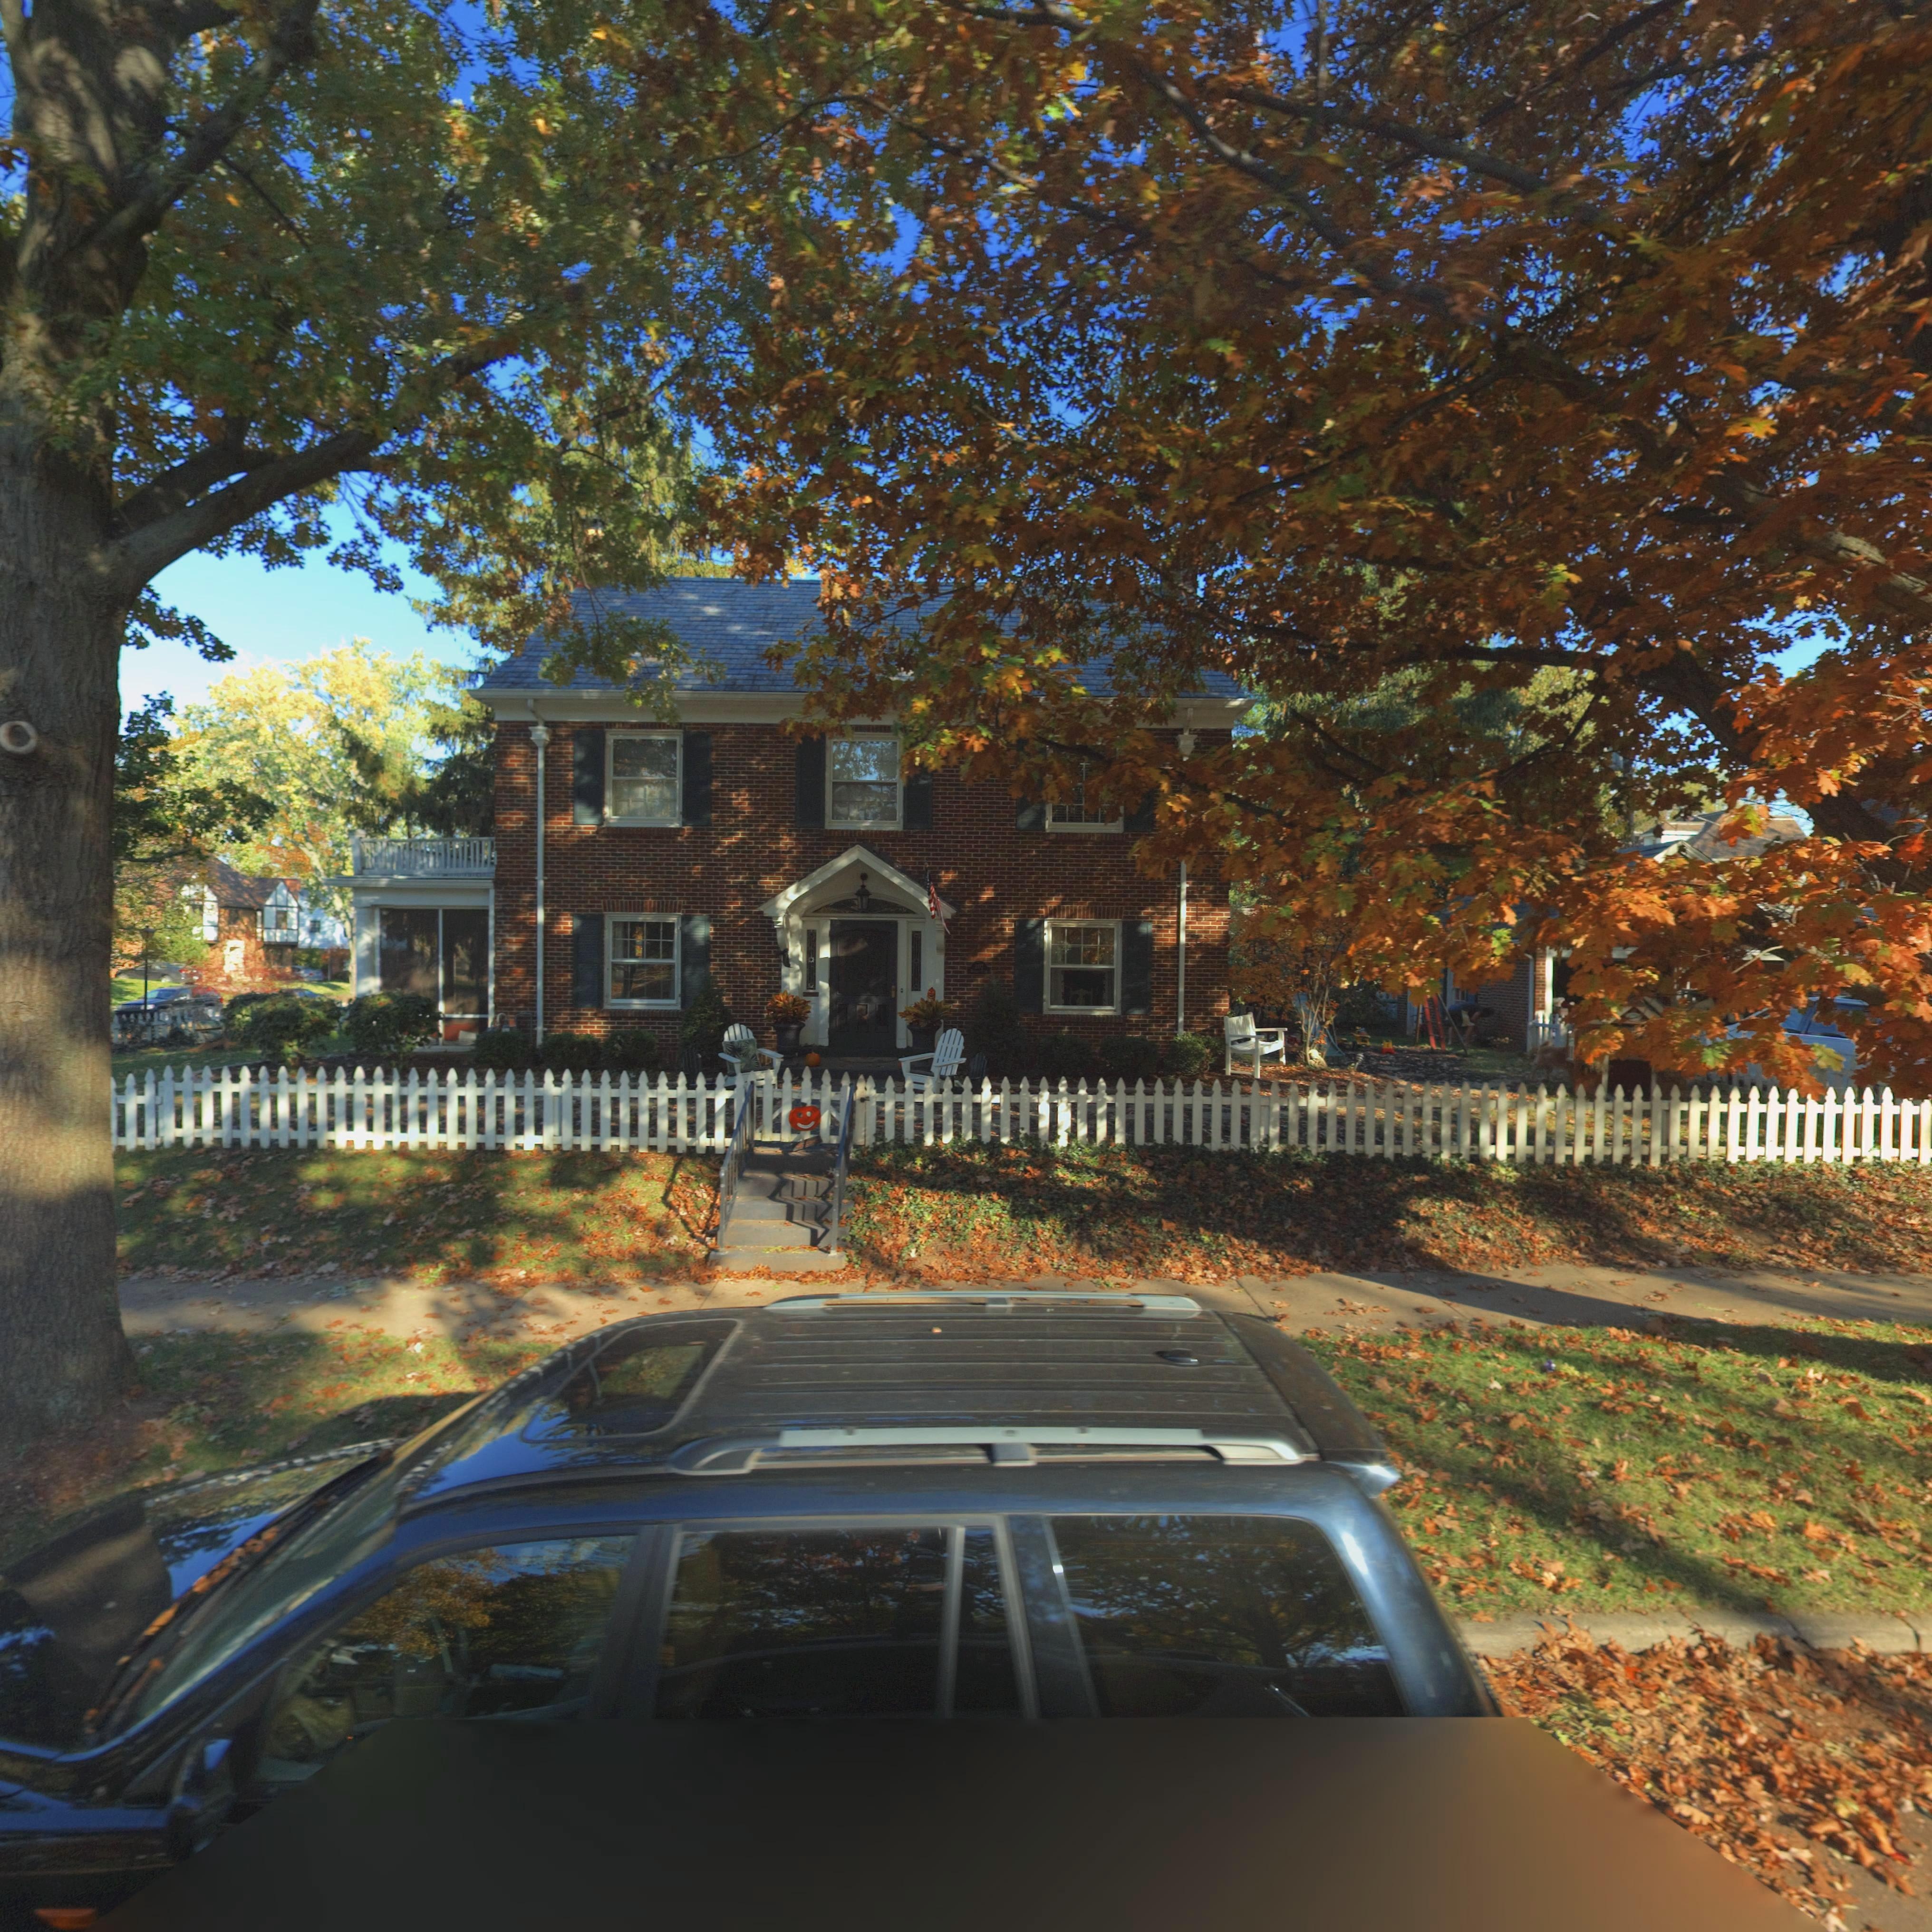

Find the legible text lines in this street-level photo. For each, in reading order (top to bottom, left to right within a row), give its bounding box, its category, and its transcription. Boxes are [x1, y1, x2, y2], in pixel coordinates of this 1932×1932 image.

[975, 963, 984, 970] StreetNumber: *0*